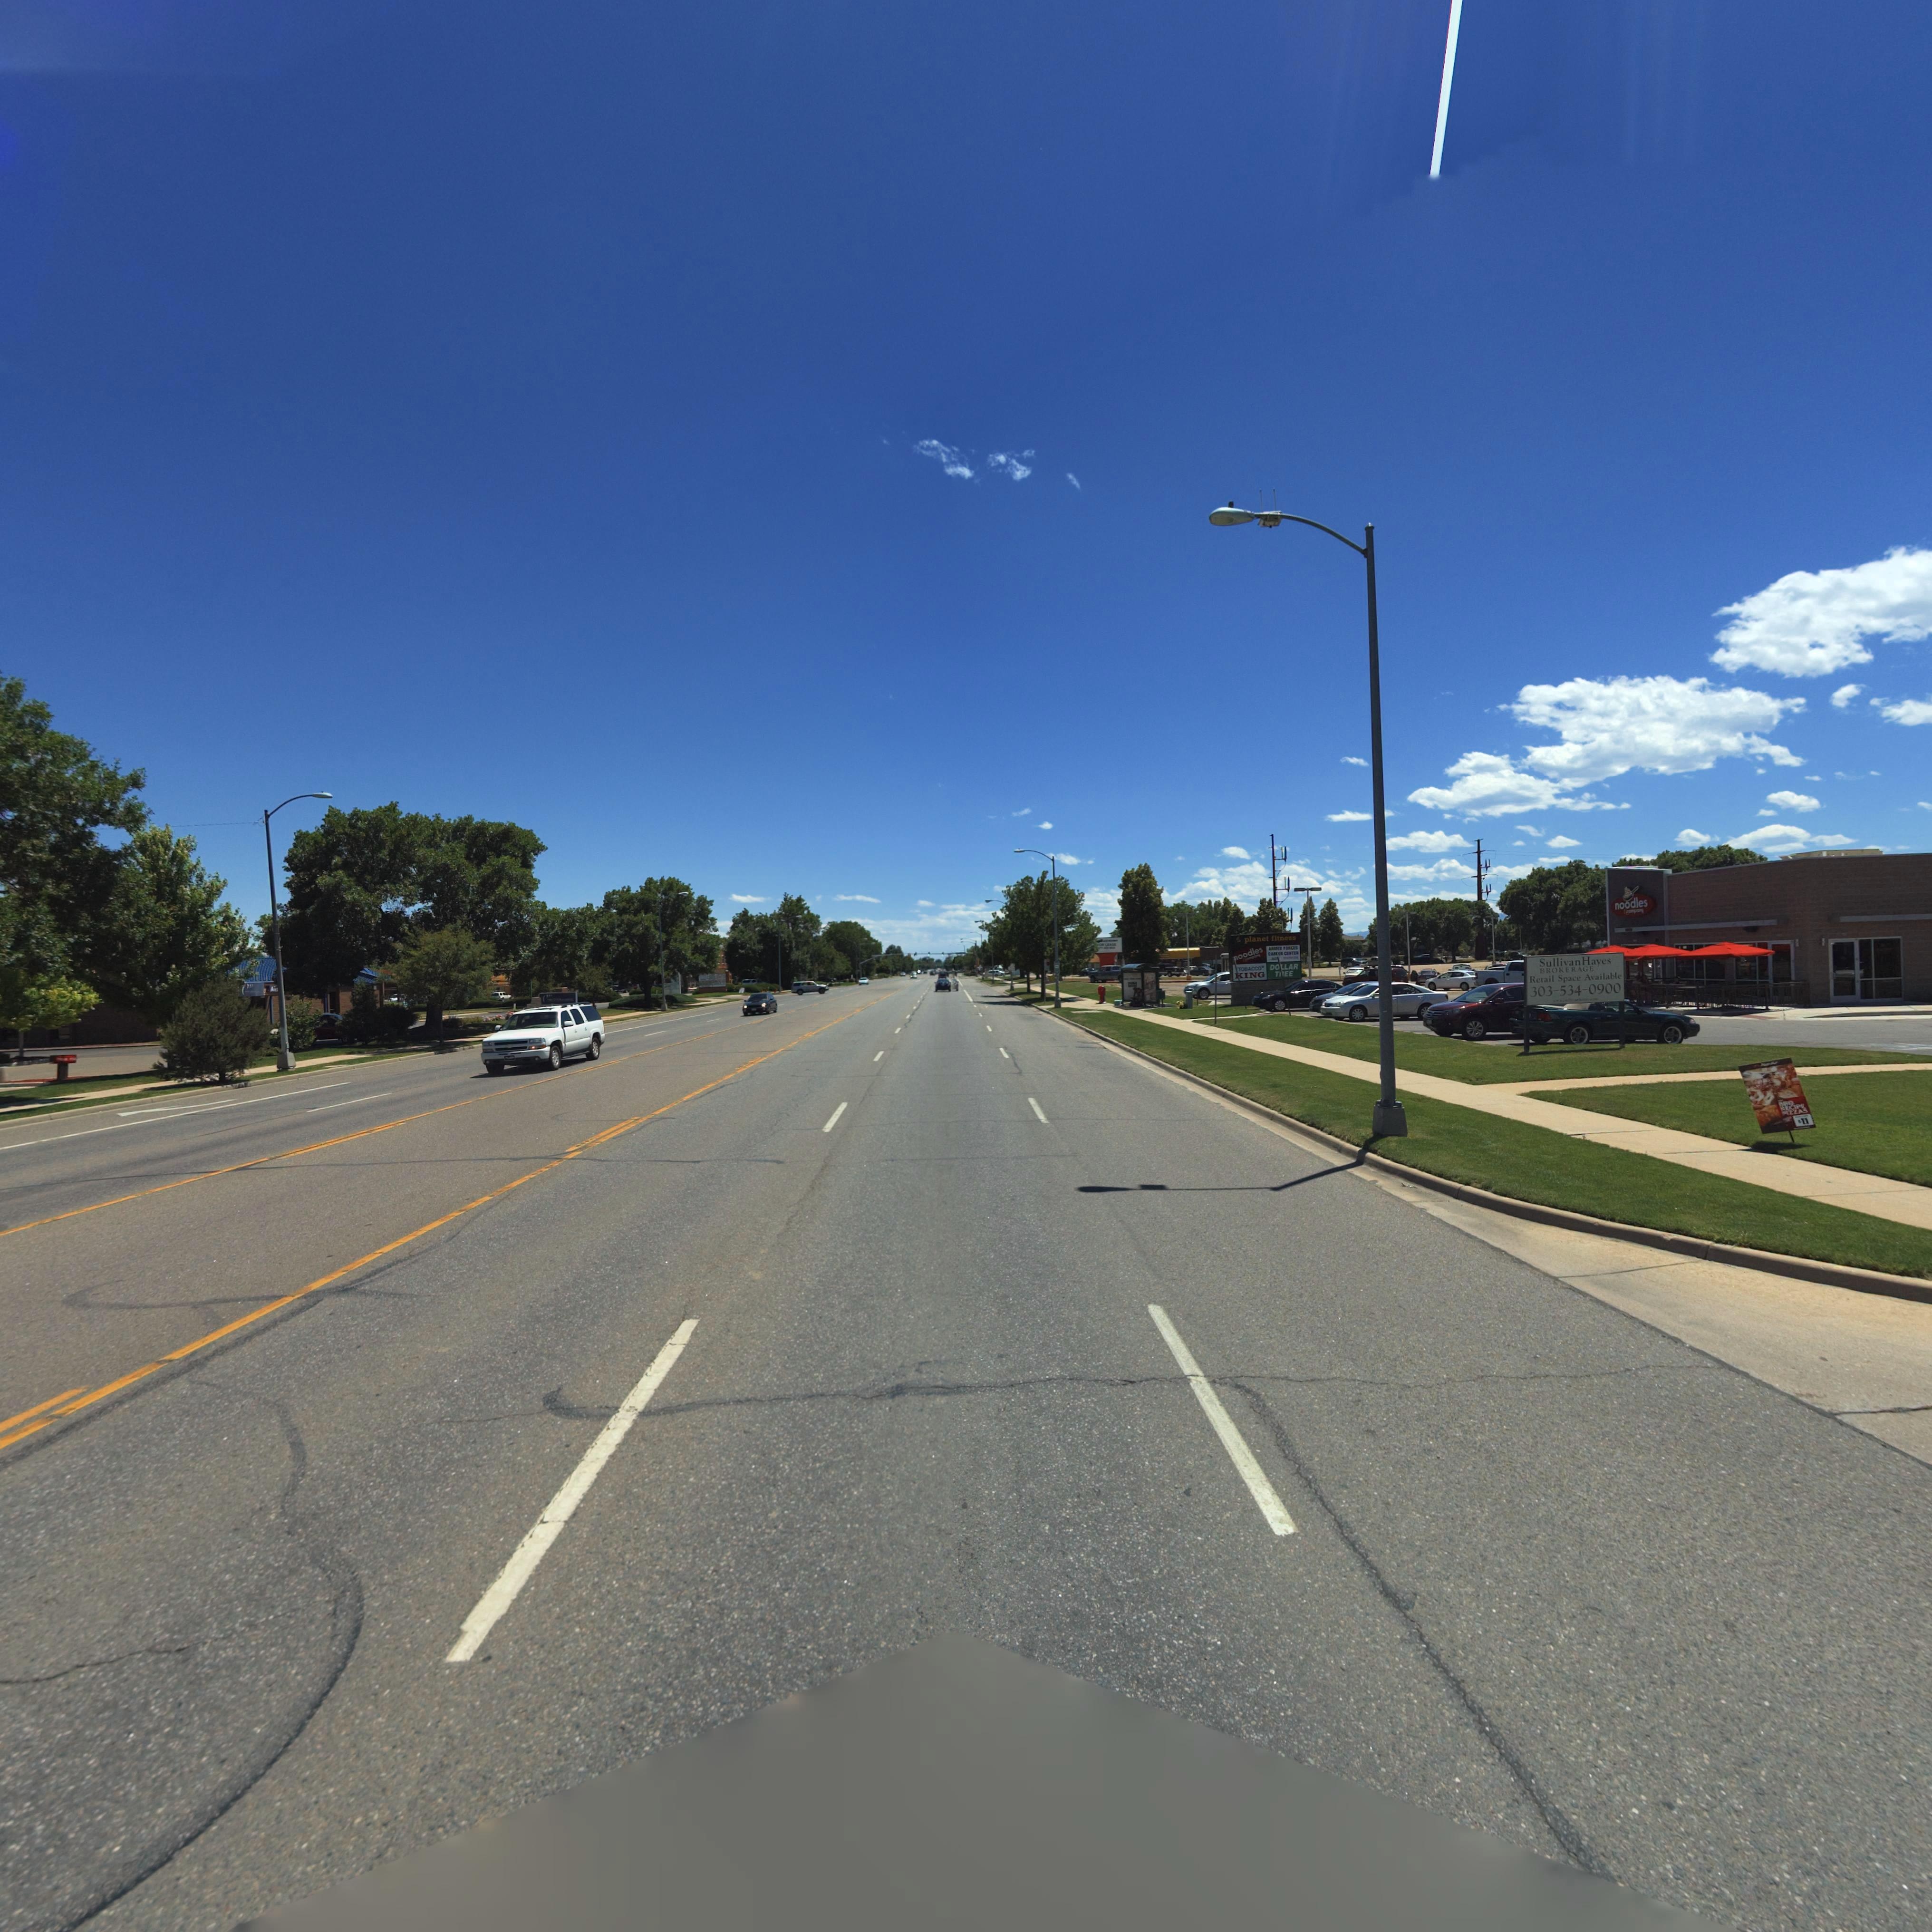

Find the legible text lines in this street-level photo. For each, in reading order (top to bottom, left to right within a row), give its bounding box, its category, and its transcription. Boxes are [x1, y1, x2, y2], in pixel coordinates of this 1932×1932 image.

[1614, 897, 1648, 910] BusinessName: noodles
[1626, 908, 1644, 914] BusinessName: ***p***
[1244, 935, 1296, 944] BusinessName: planet fitness
[1233, 947, 1263, 961] BusinessName: *oodles
[1245, 954, 1261, 960] BusinessName: ***p**y
[1267, 950, 1299, 956] BusinessName: CA*EE* C**T*R
[1237, 966, 1262, 971] BusinessName: TOBACCO
[1269, 963, 1299, 970] BusinessName: DOLLAR
[1234, 971, 1265, 978] BusinessName: *ING
[1275, 970, 1294, 977] BusinessName: T*EE